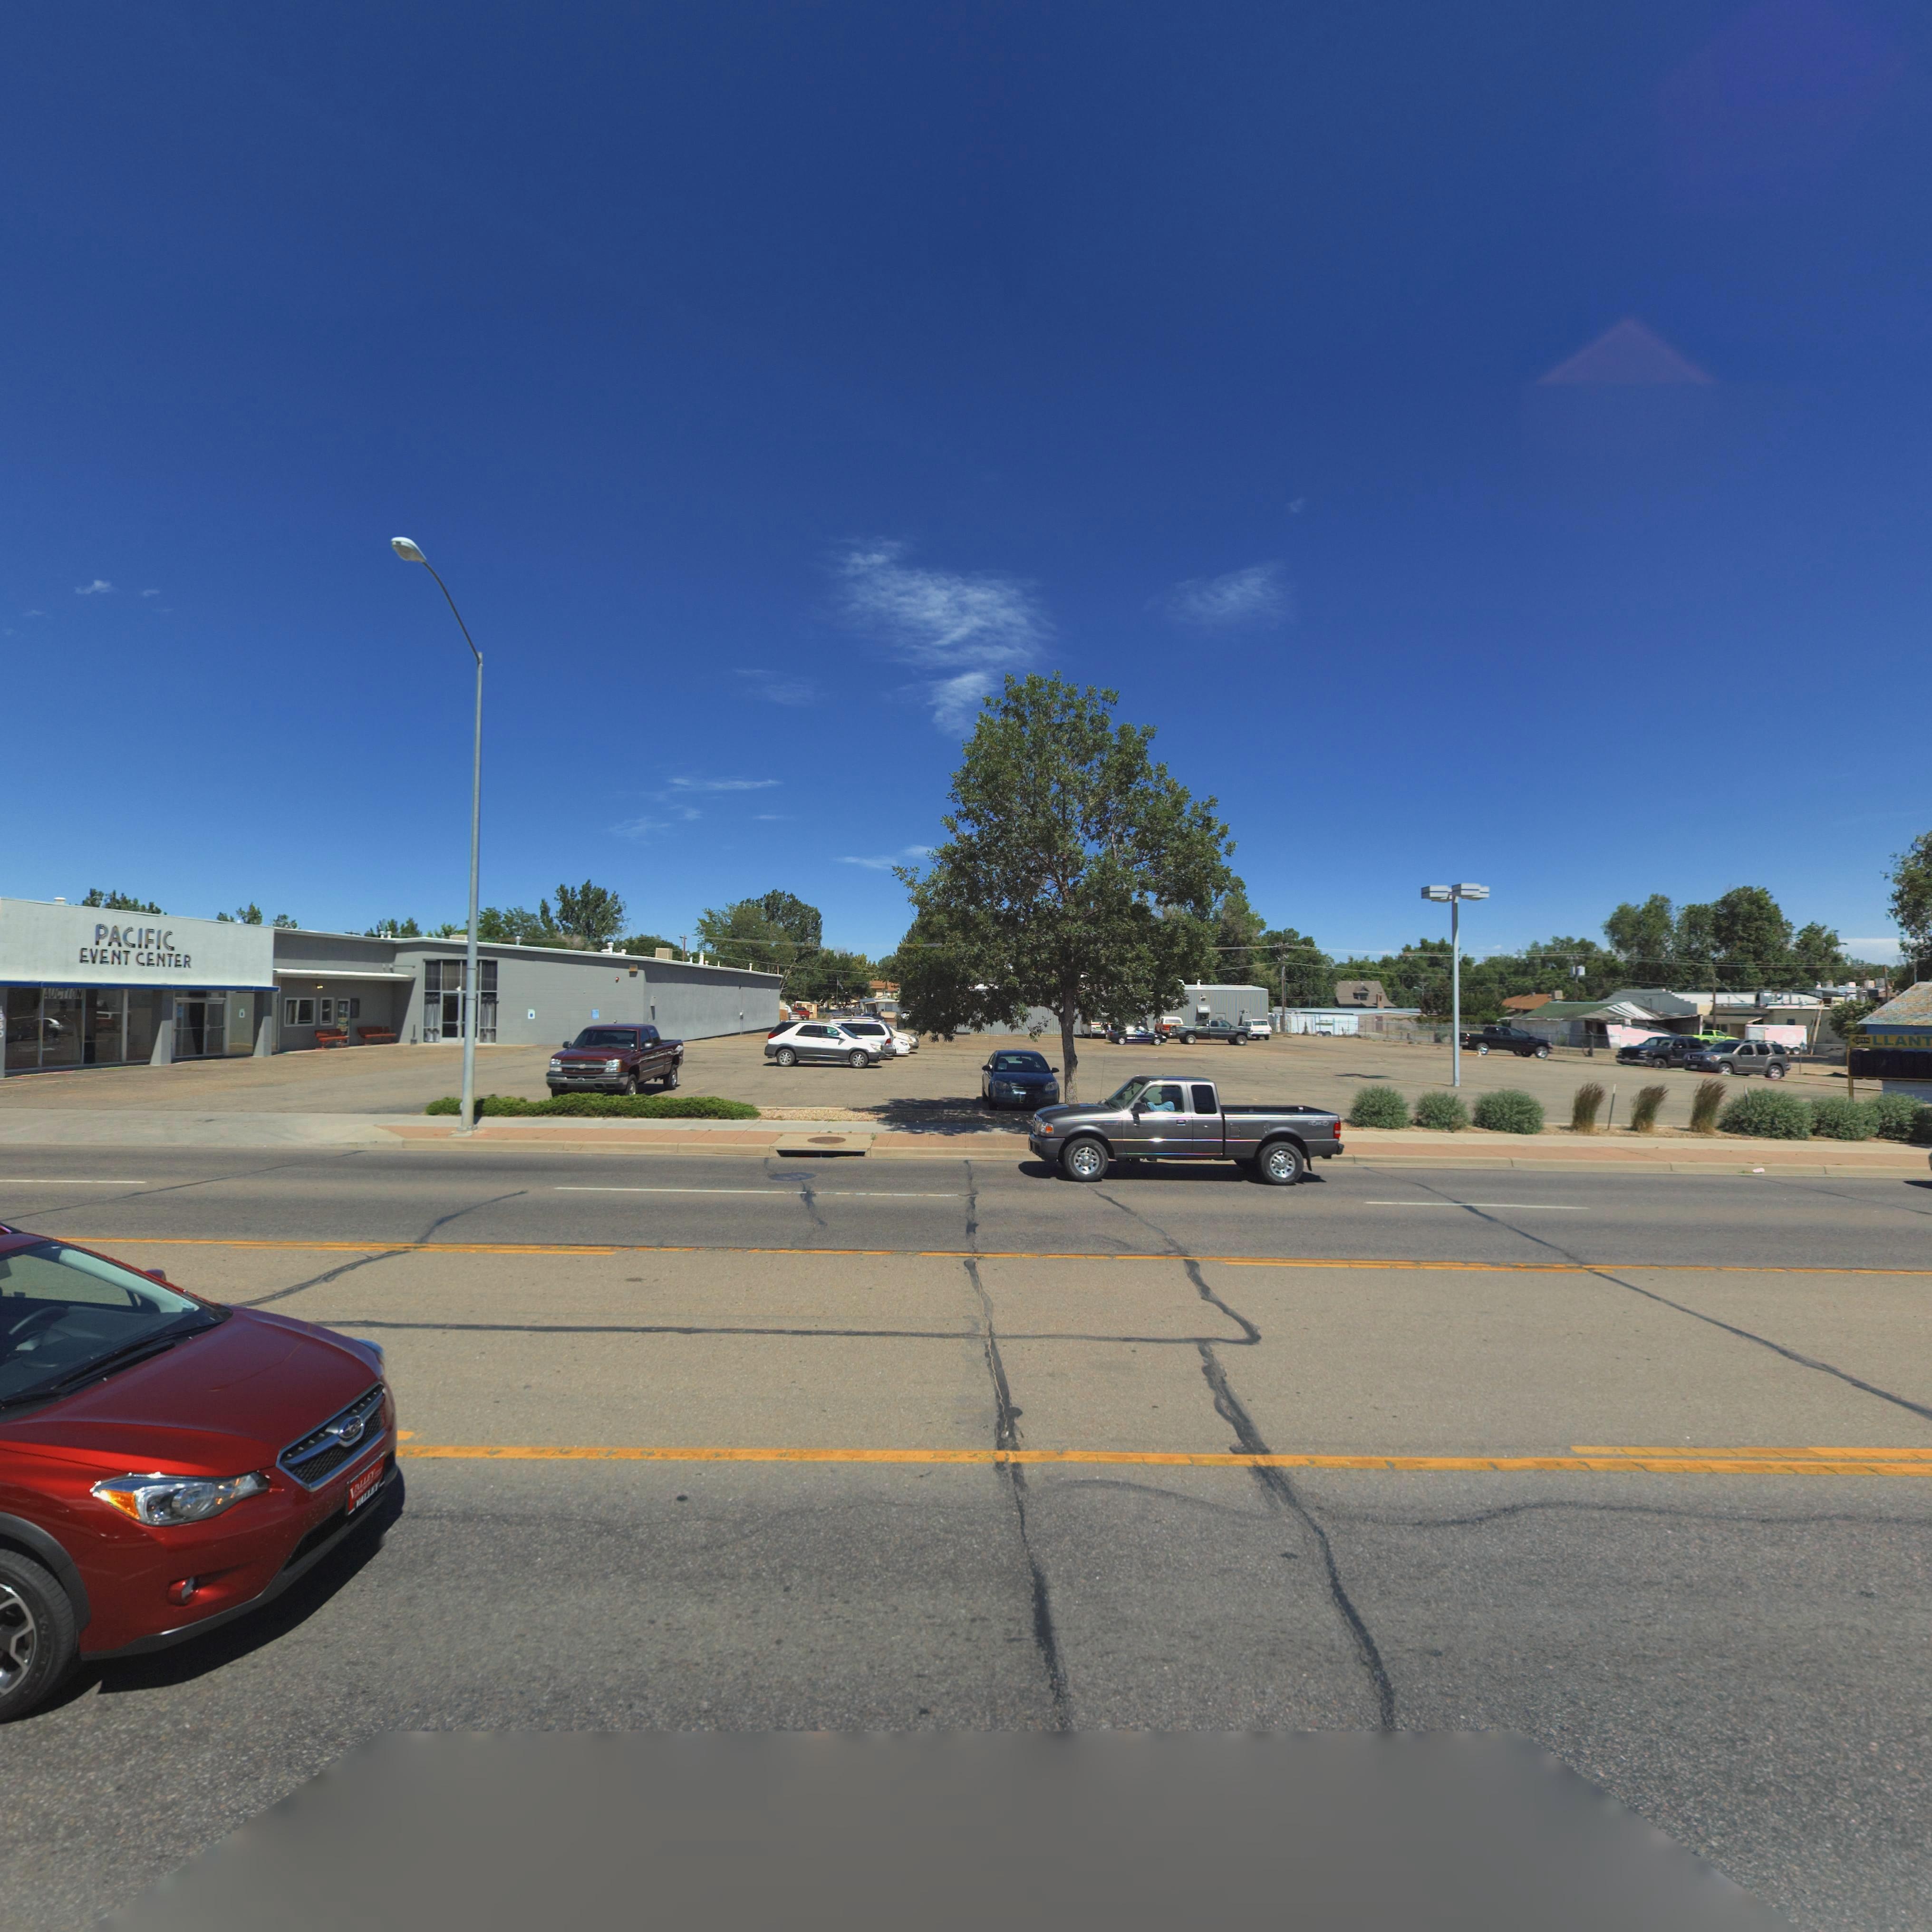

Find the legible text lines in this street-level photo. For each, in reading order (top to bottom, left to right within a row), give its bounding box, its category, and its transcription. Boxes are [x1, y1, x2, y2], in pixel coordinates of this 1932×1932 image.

[95, 922, 176, 951] BusinessName: PACIFIC
[79, 947, 192, 969] BusinessName: EVENT CENTER